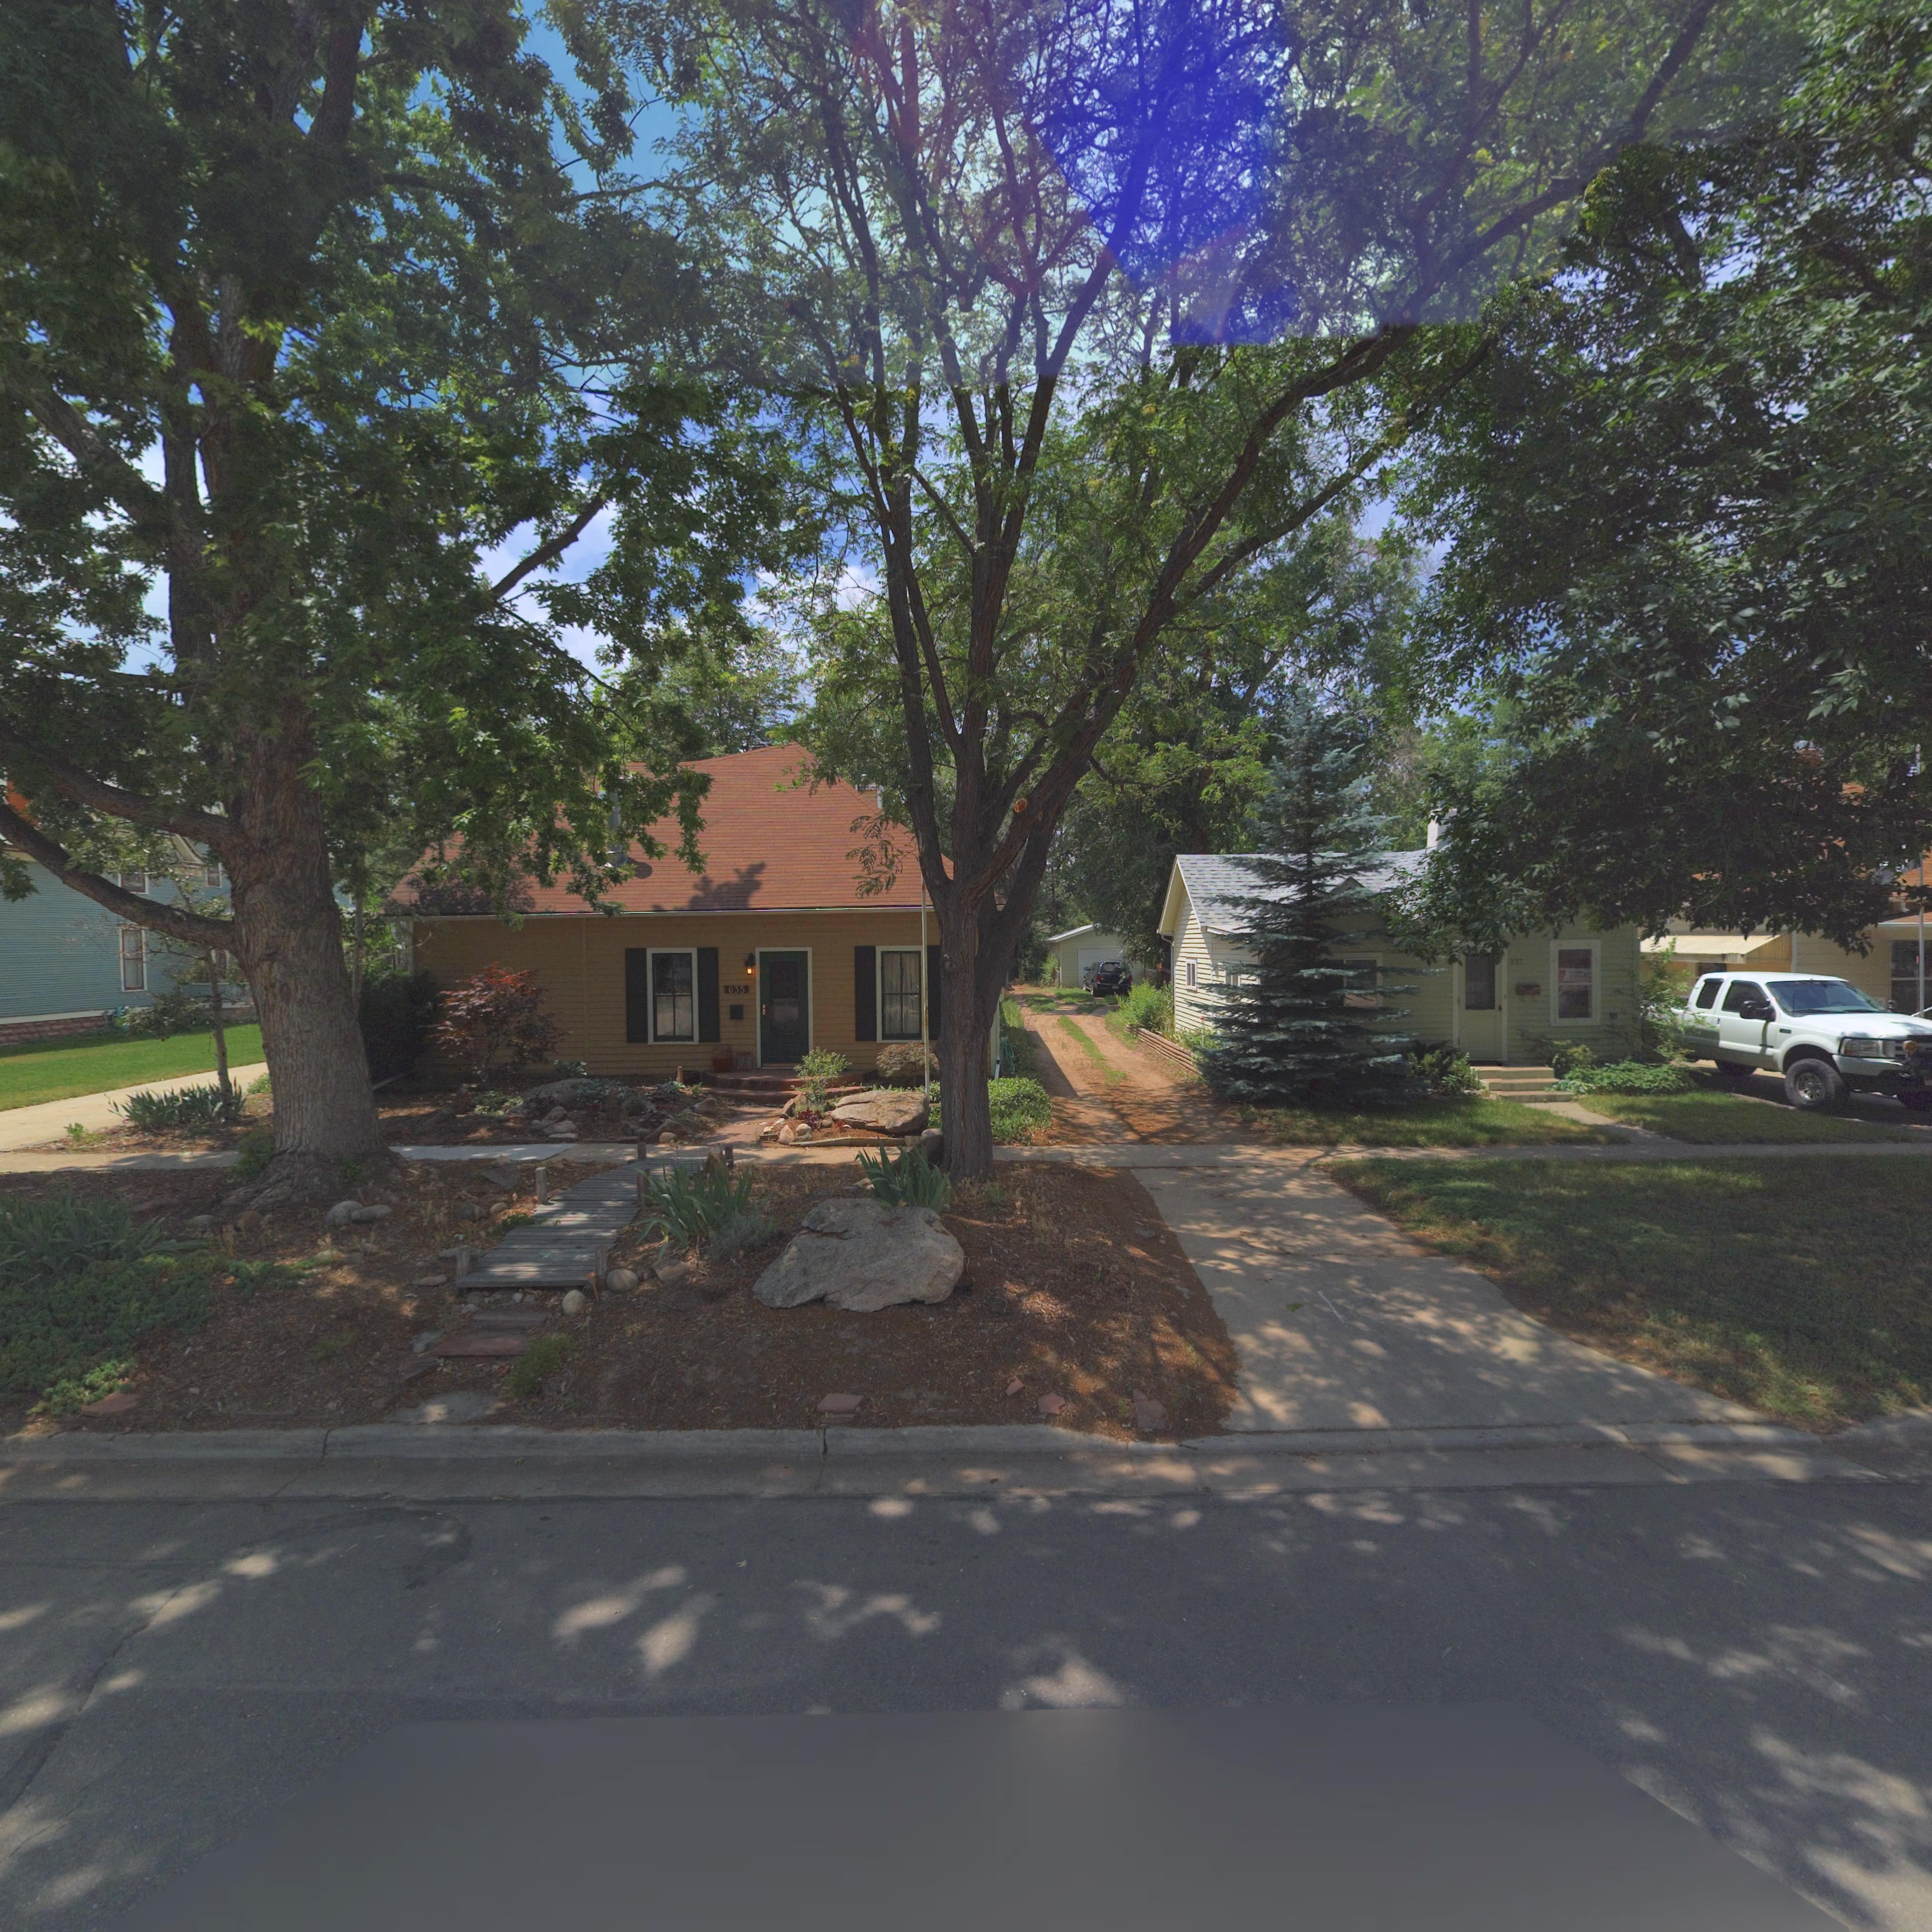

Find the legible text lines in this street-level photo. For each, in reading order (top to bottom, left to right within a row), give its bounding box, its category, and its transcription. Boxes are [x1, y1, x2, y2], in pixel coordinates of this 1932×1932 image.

[1508, 957, 1524, 966] StreetNumber: **7
[727, 985, 745, 993] StreetNumber: 635